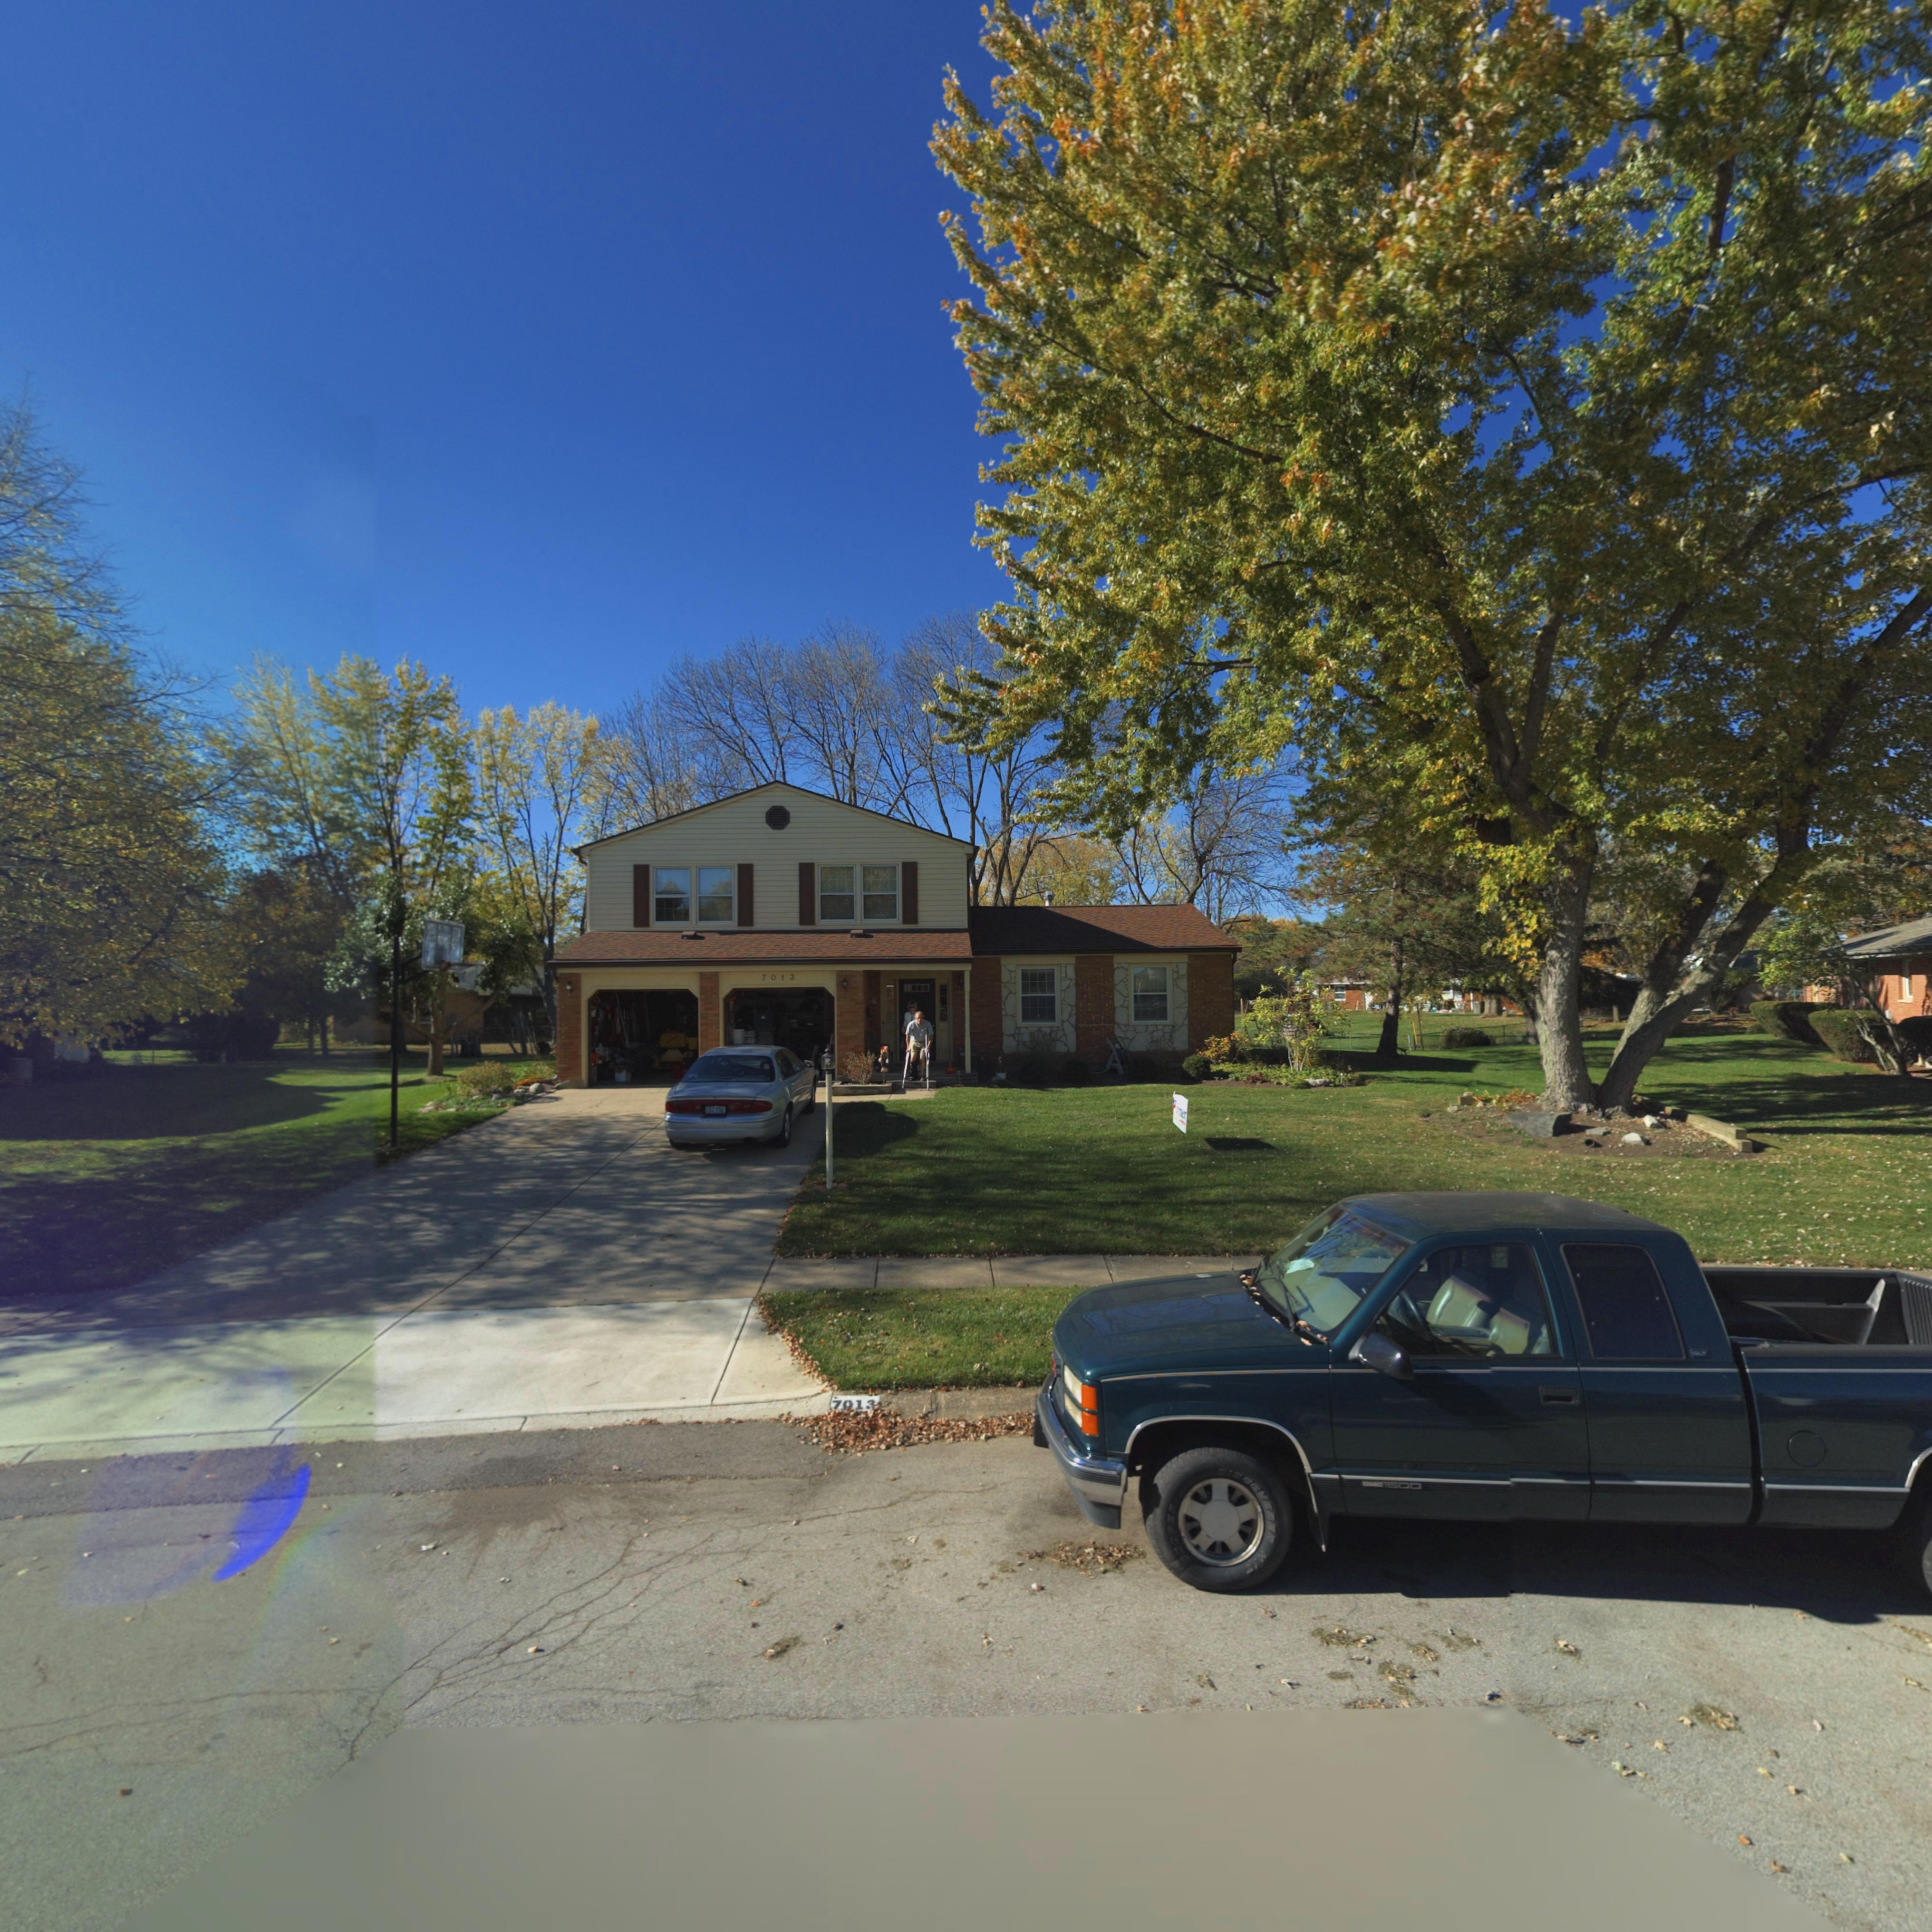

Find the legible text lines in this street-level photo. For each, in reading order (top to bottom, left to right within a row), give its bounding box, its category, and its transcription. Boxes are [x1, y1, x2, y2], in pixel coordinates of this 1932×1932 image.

[761, 973, 796, 982] StreetNumber: 7013
[831, 1398, 877, 1412] StreetNumber: 7*1*
[1361, 1480, 1423, 1490] None: GMC 1500